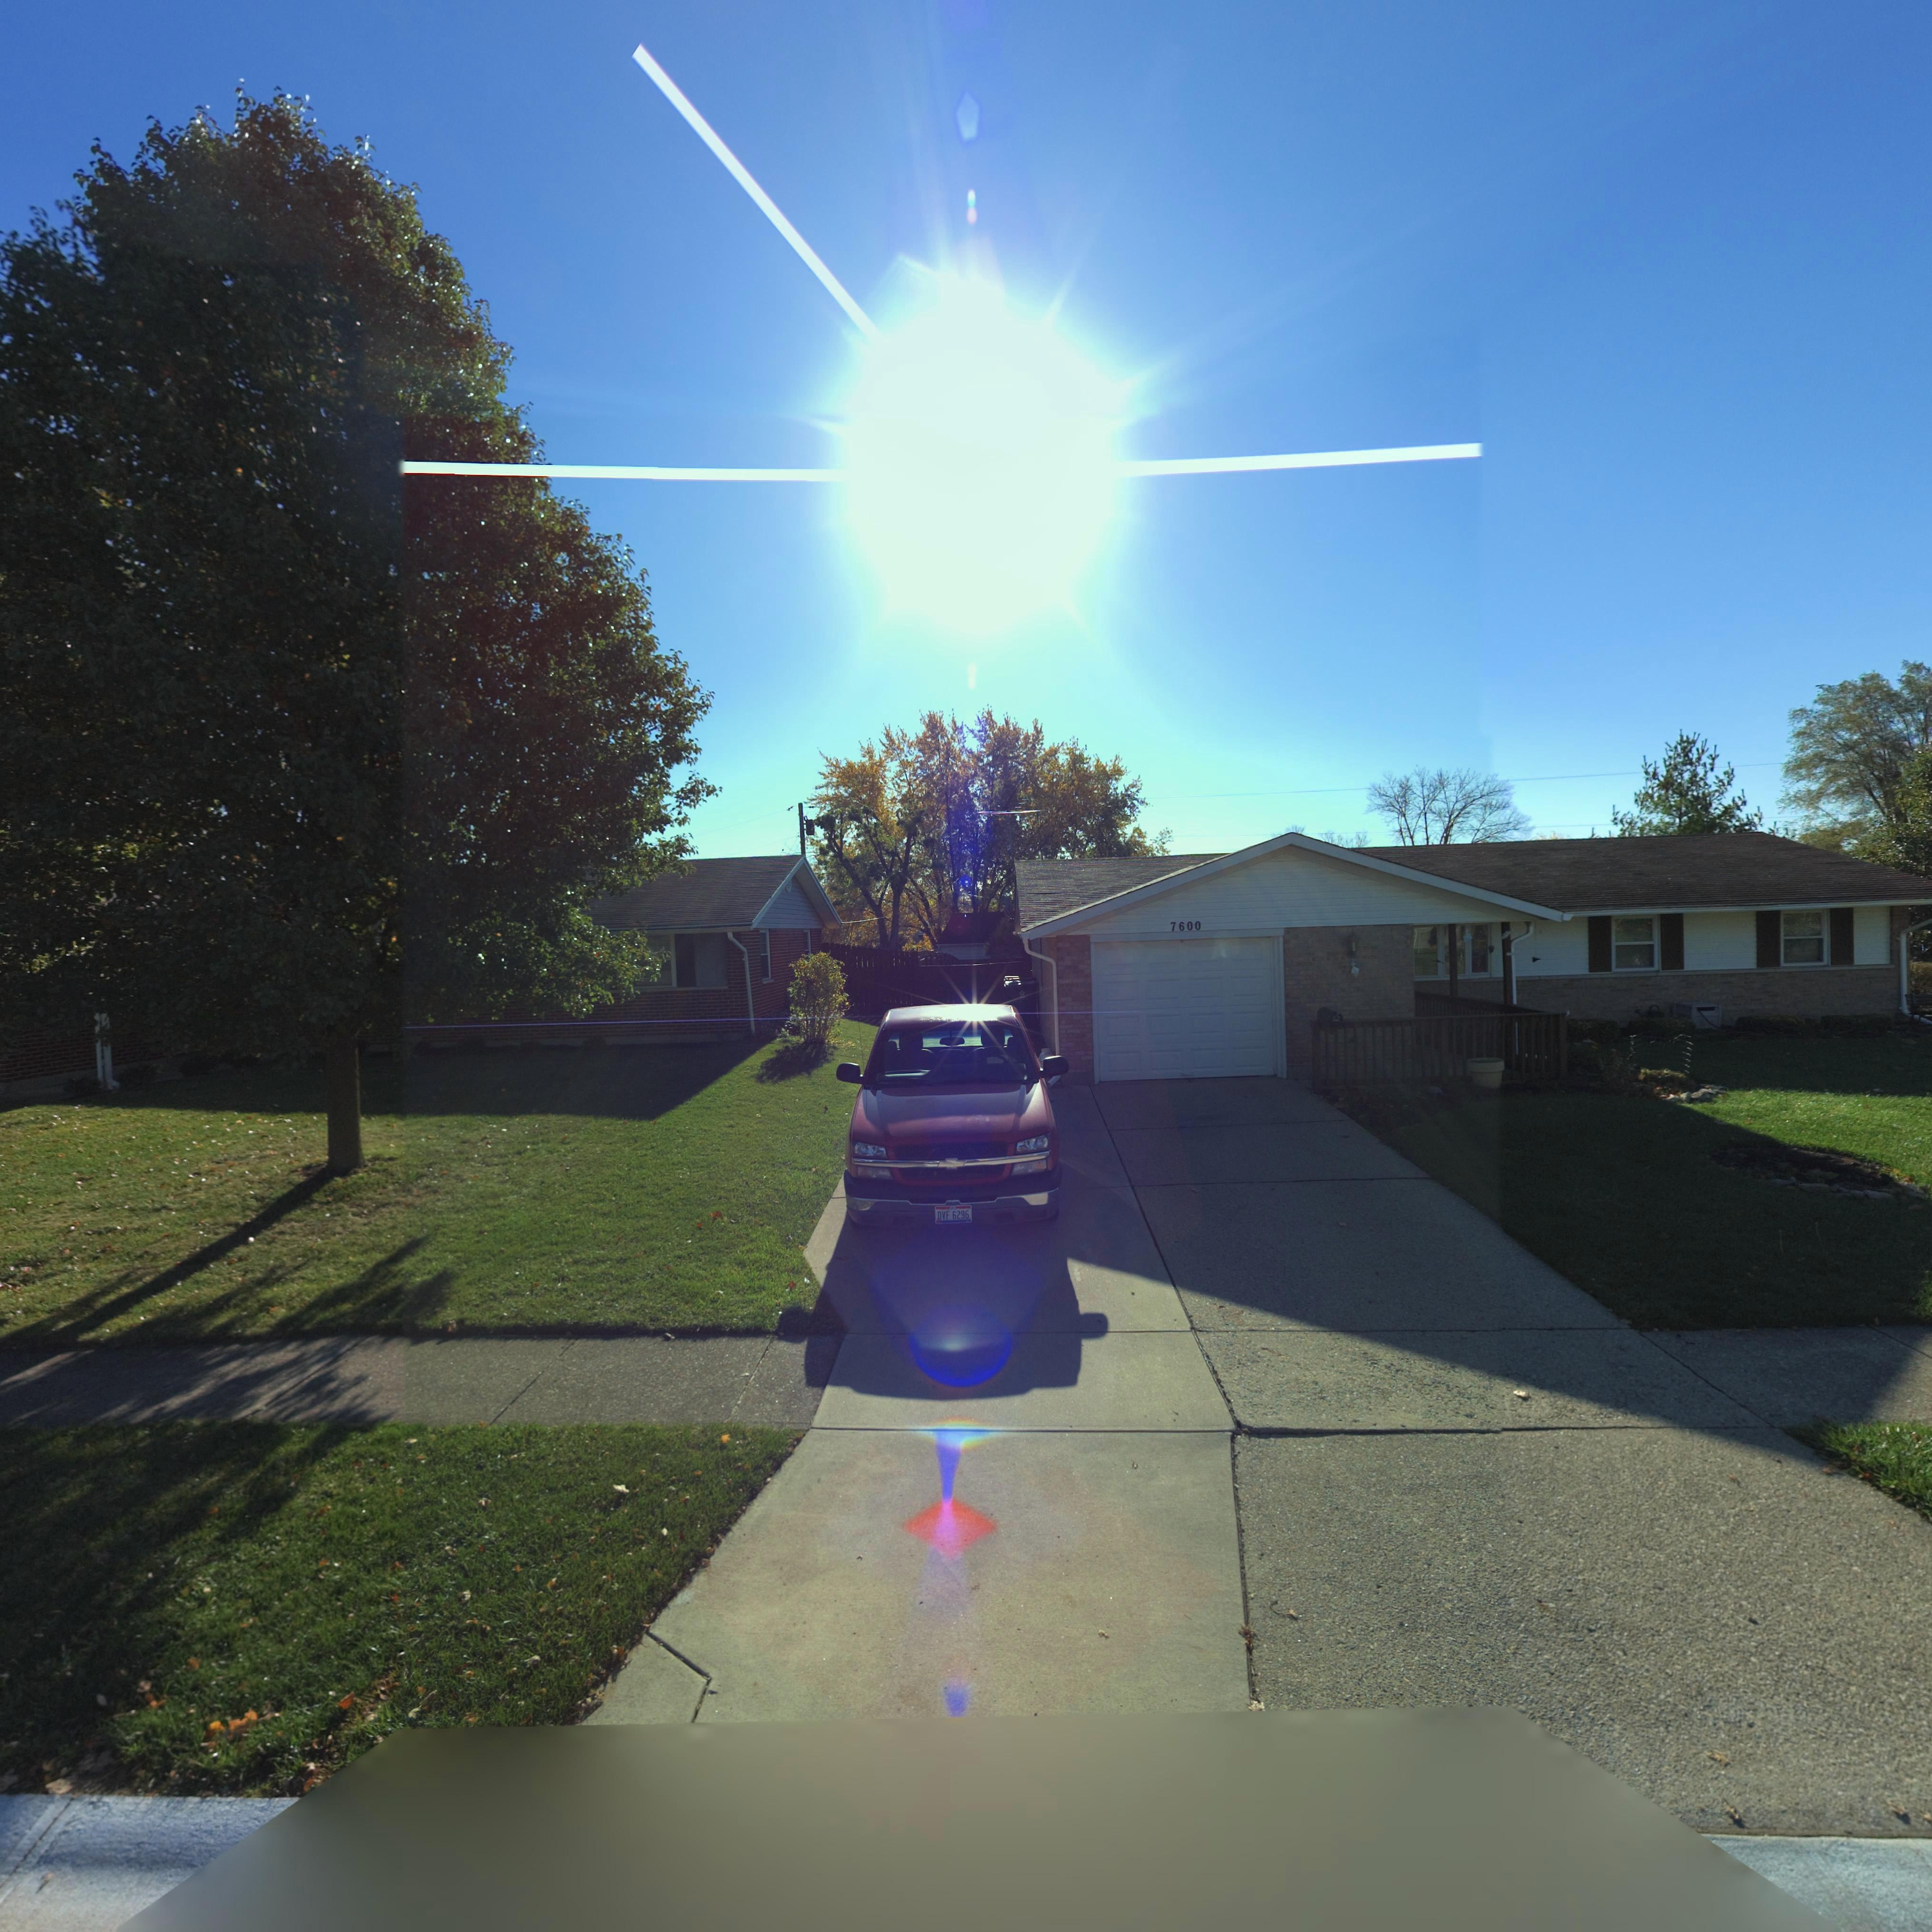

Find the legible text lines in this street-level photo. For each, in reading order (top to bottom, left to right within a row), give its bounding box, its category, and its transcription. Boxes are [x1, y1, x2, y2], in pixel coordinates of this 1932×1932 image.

[1169, 920, 1202, 933] StreetNumber: 7600